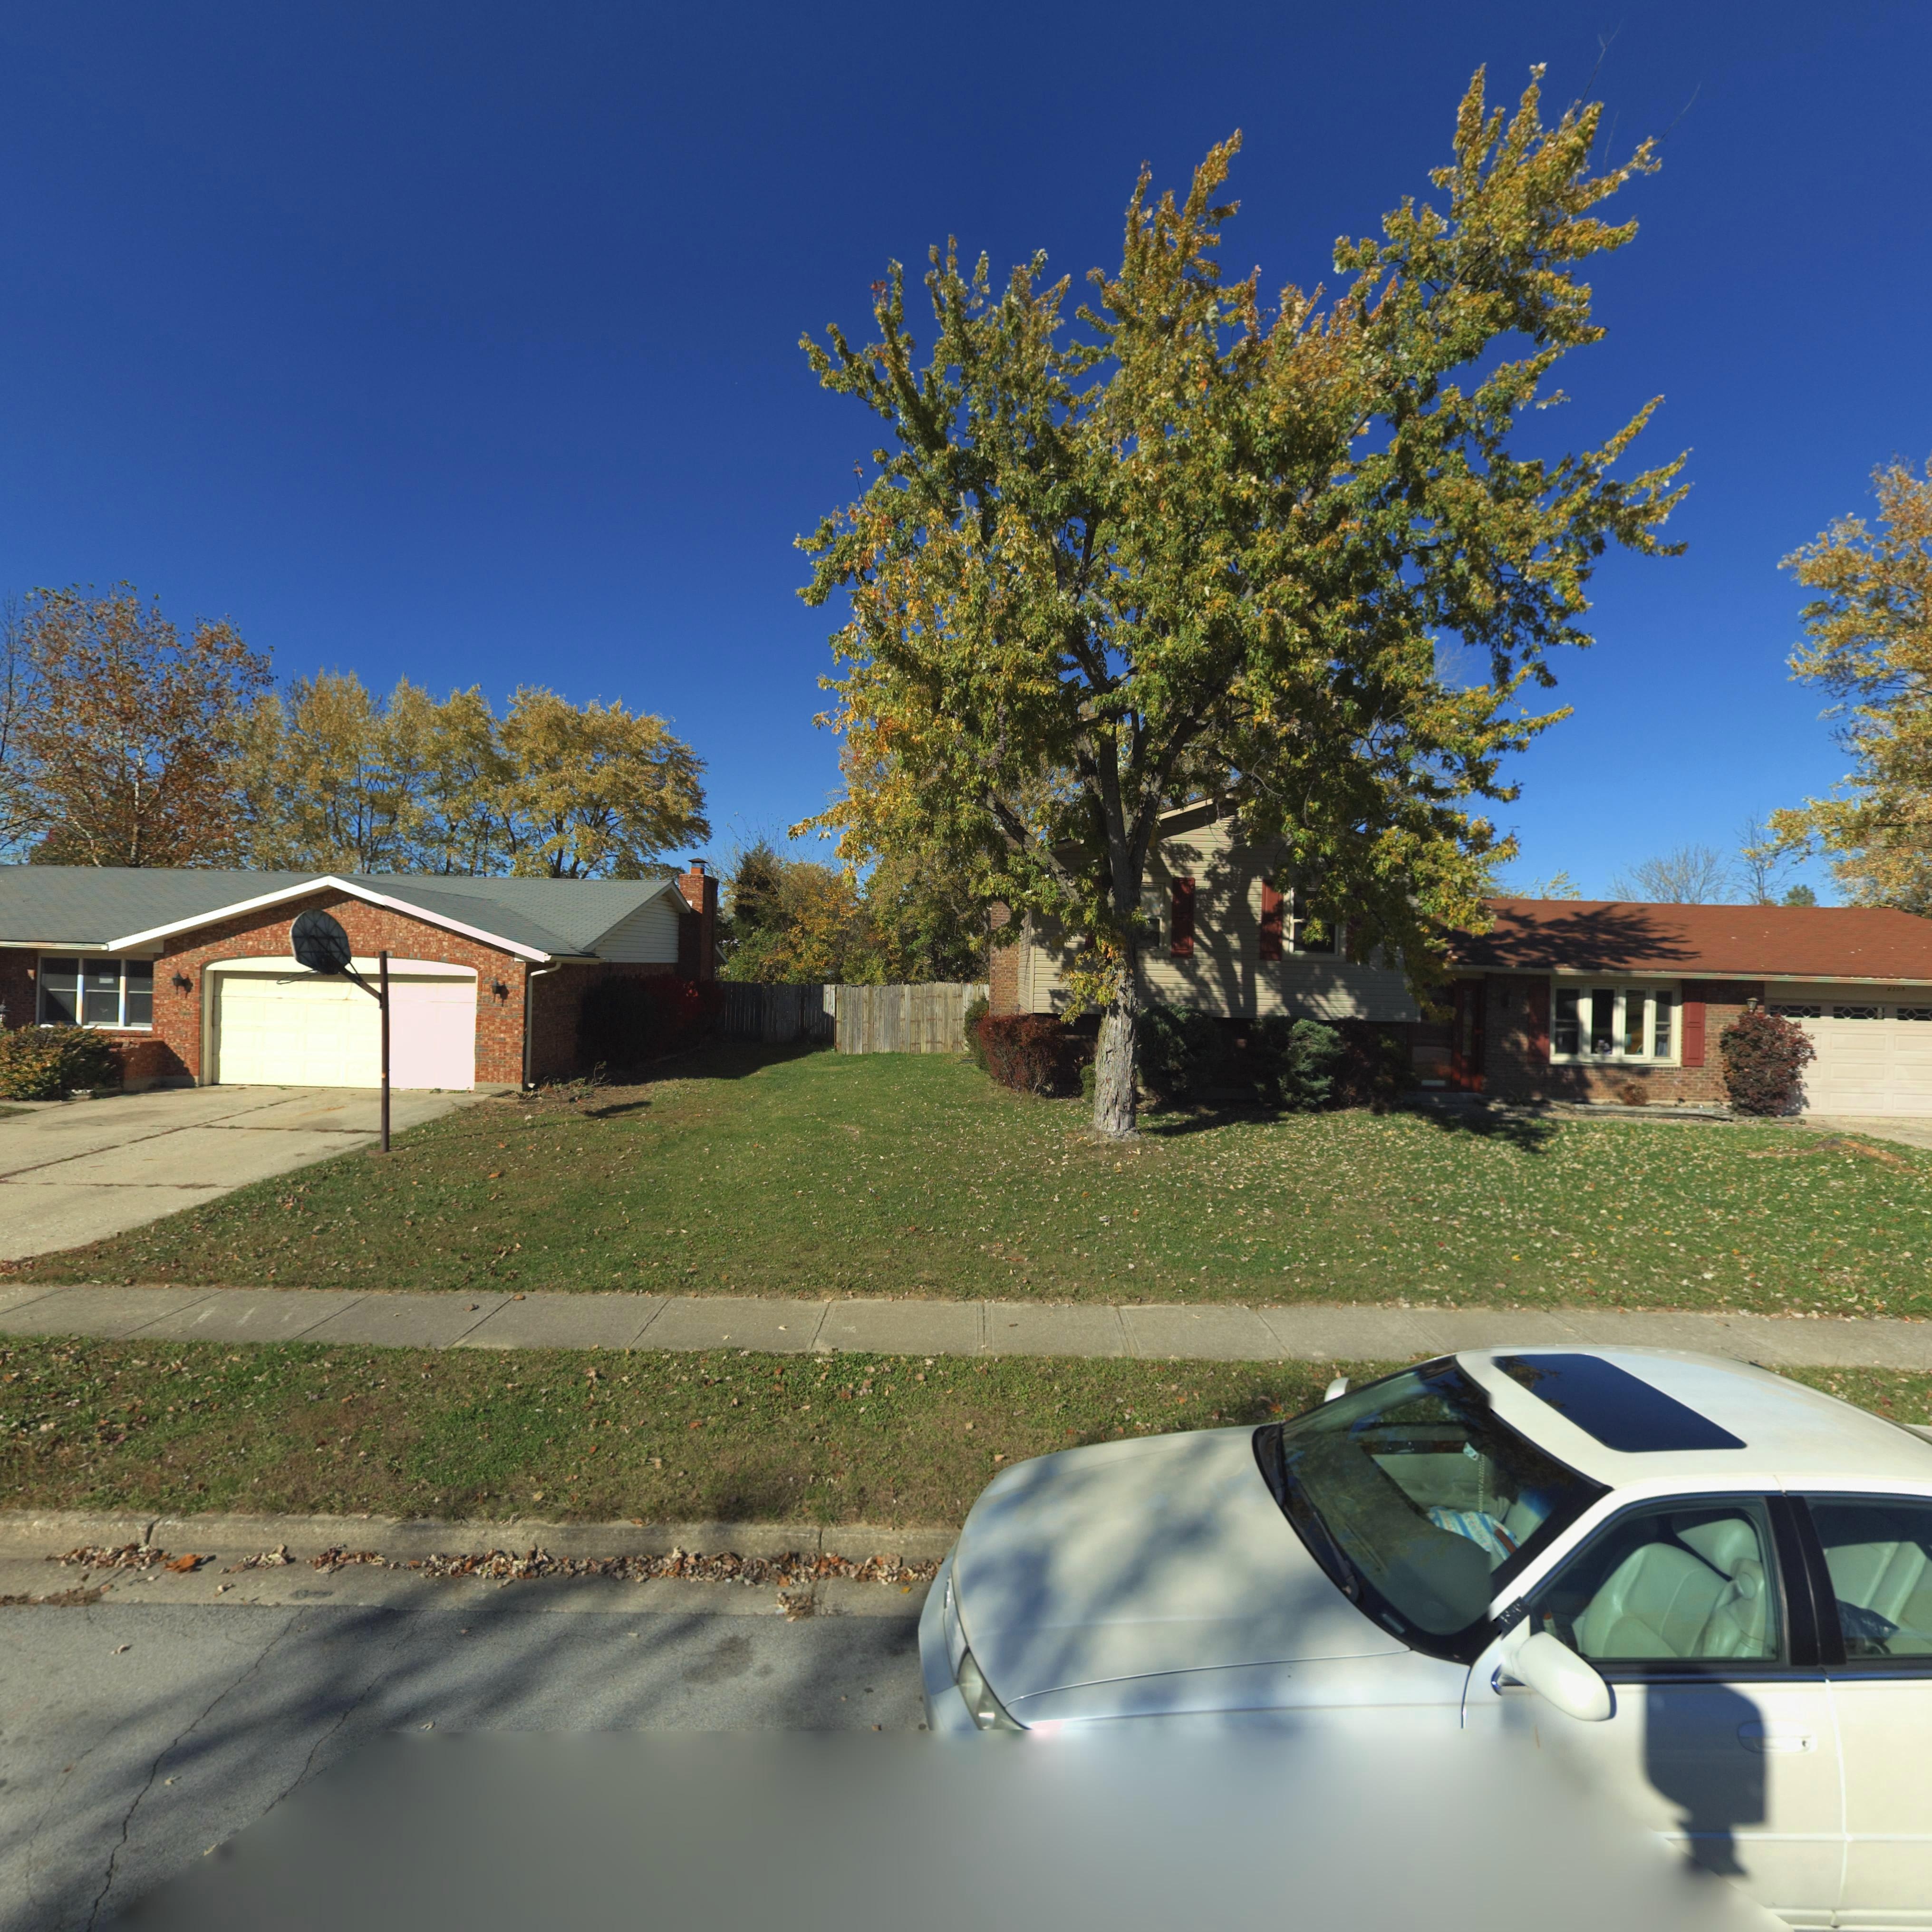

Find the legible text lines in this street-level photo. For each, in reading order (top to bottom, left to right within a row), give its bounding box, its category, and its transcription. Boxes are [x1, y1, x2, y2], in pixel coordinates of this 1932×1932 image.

[1887, 986, 1905, 992] StreetNumber: 4309